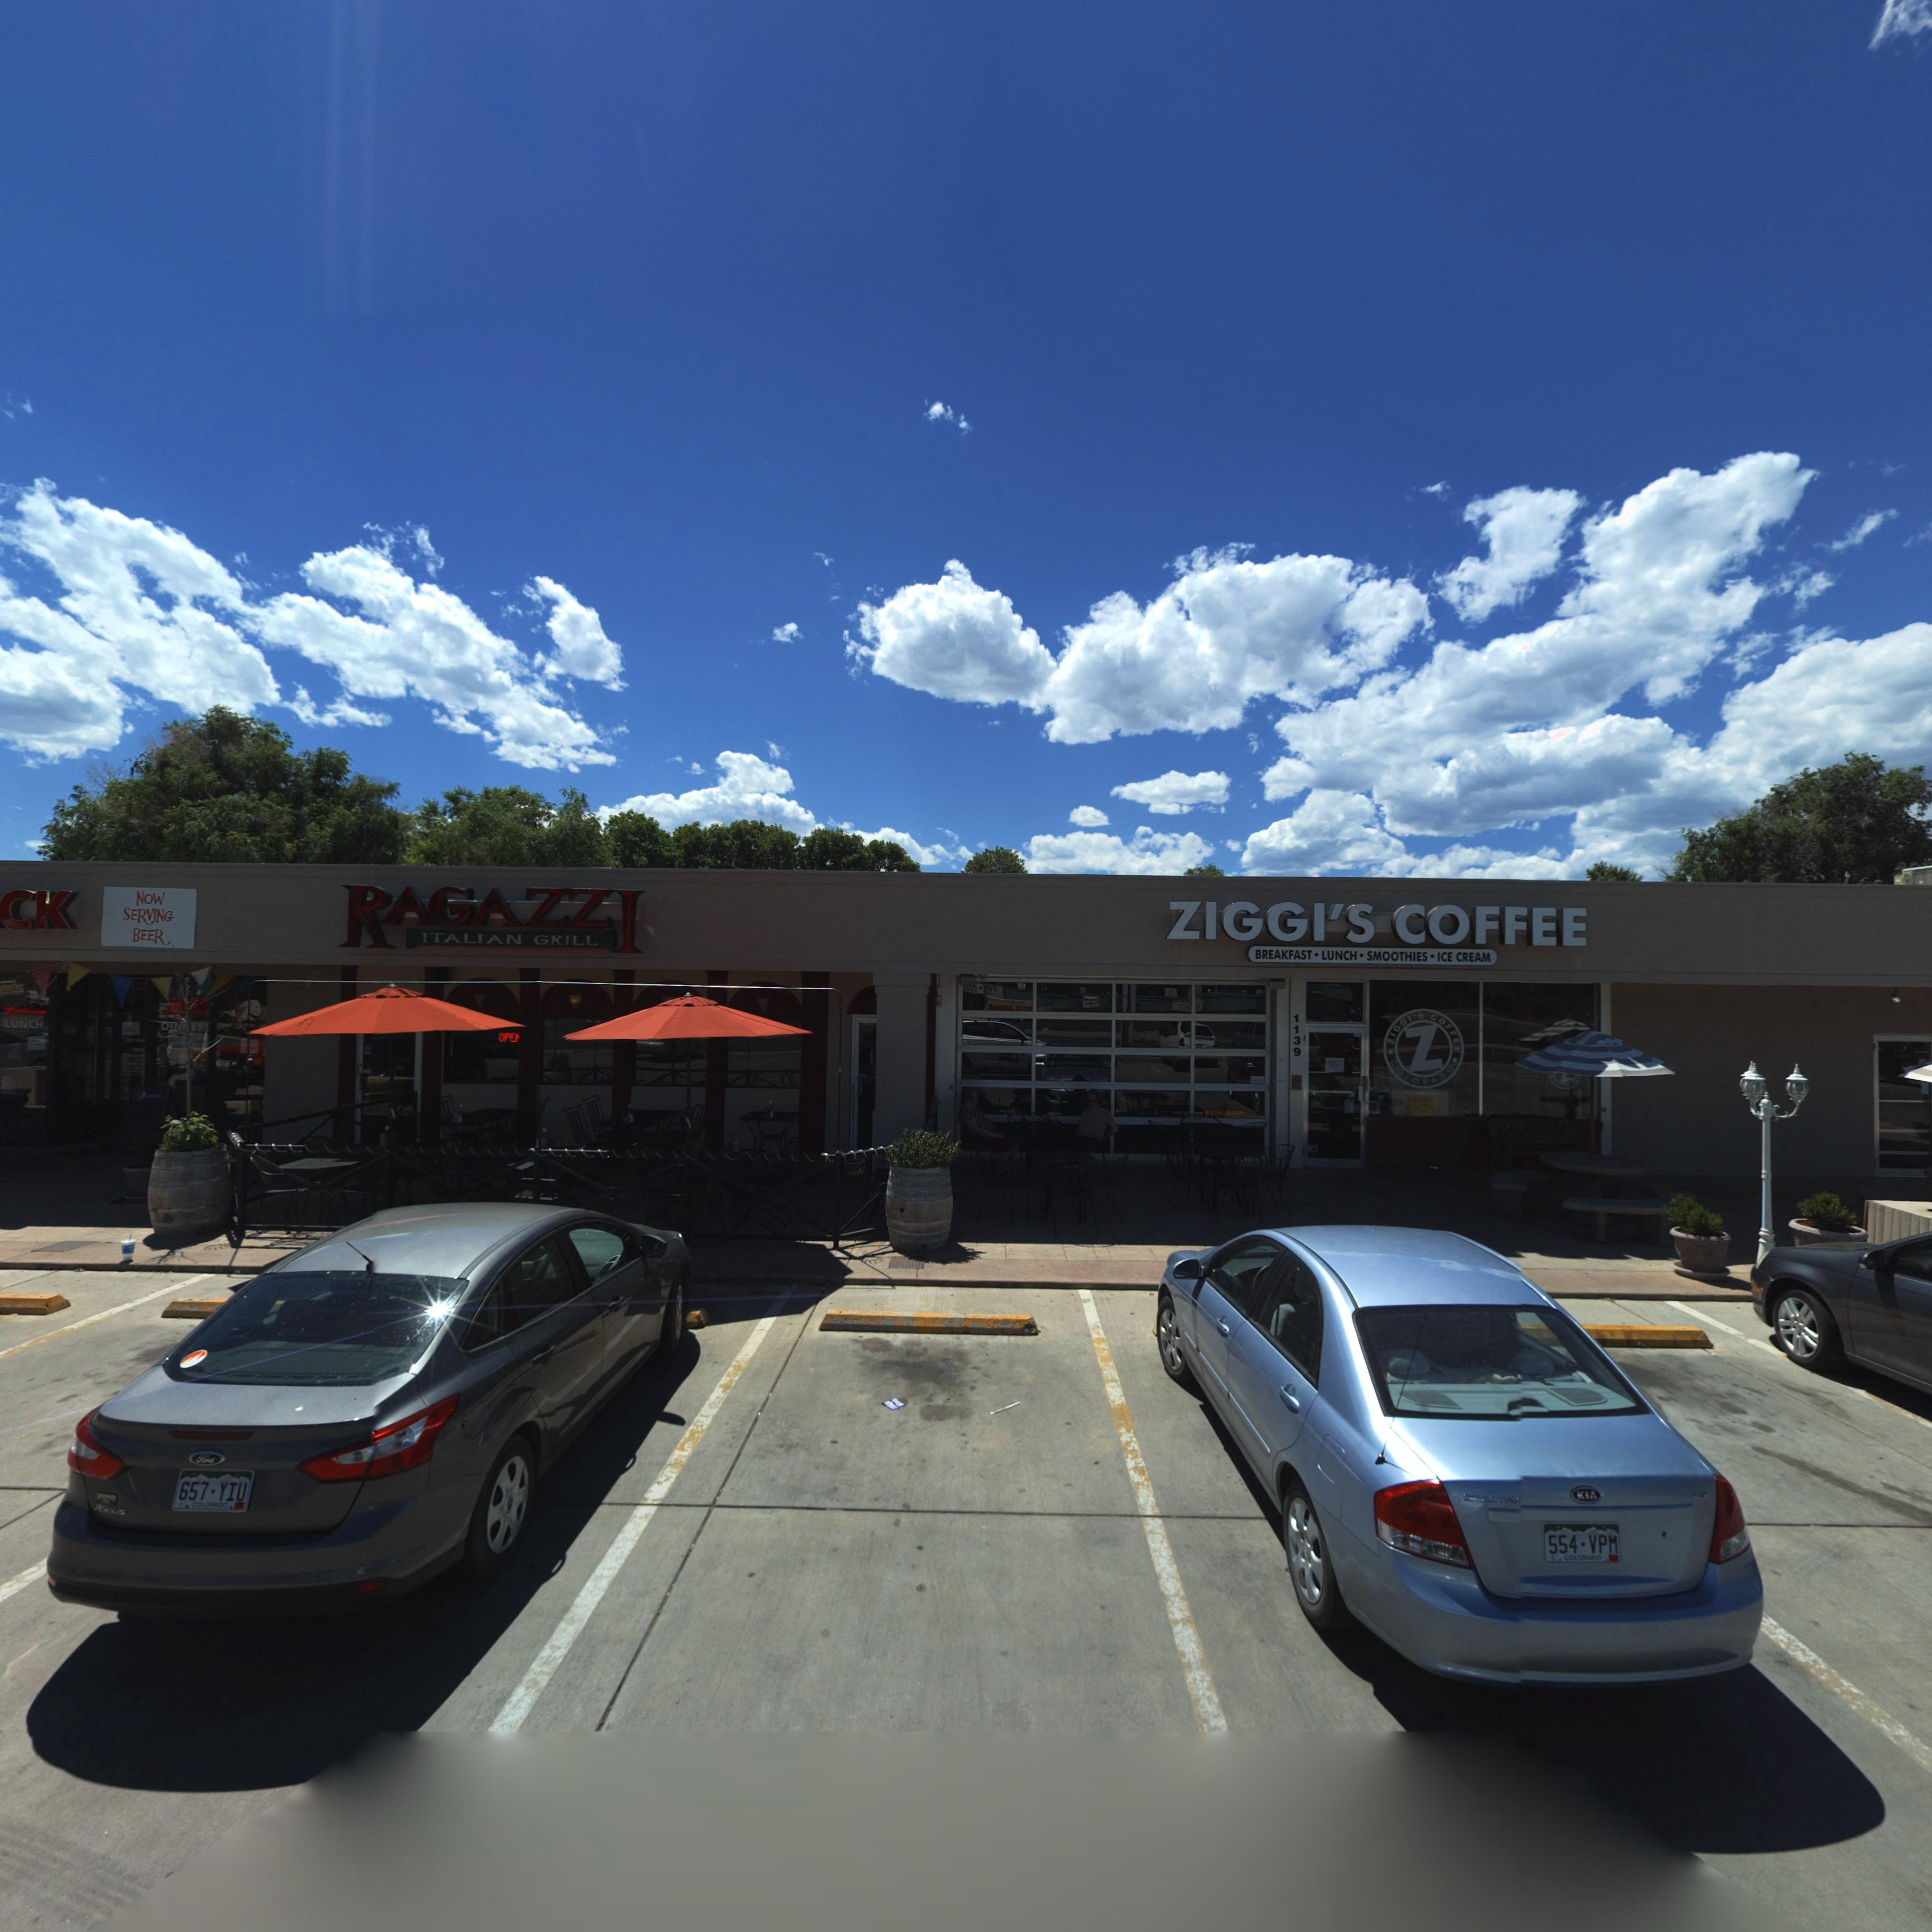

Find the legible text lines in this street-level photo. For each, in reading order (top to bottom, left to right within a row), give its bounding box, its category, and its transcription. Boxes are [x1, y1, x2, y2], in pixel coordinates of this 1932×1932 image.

[34, 889, 73, 929] BusinessName: K
[336, 883, 646, 955] BusinessName: RAGAZZI
[421, 931, 600, 947] BusinessName: ITALIAN GRILL
[1165, 899, 1588, 947] BusinessName: ZIGGI S COFFEE
[1292, 1012, 1301, 1058] StreetNumber: 1139
[1387, 1011, 1460, 1053] BusinessName: ZIGGI*S COFFEE